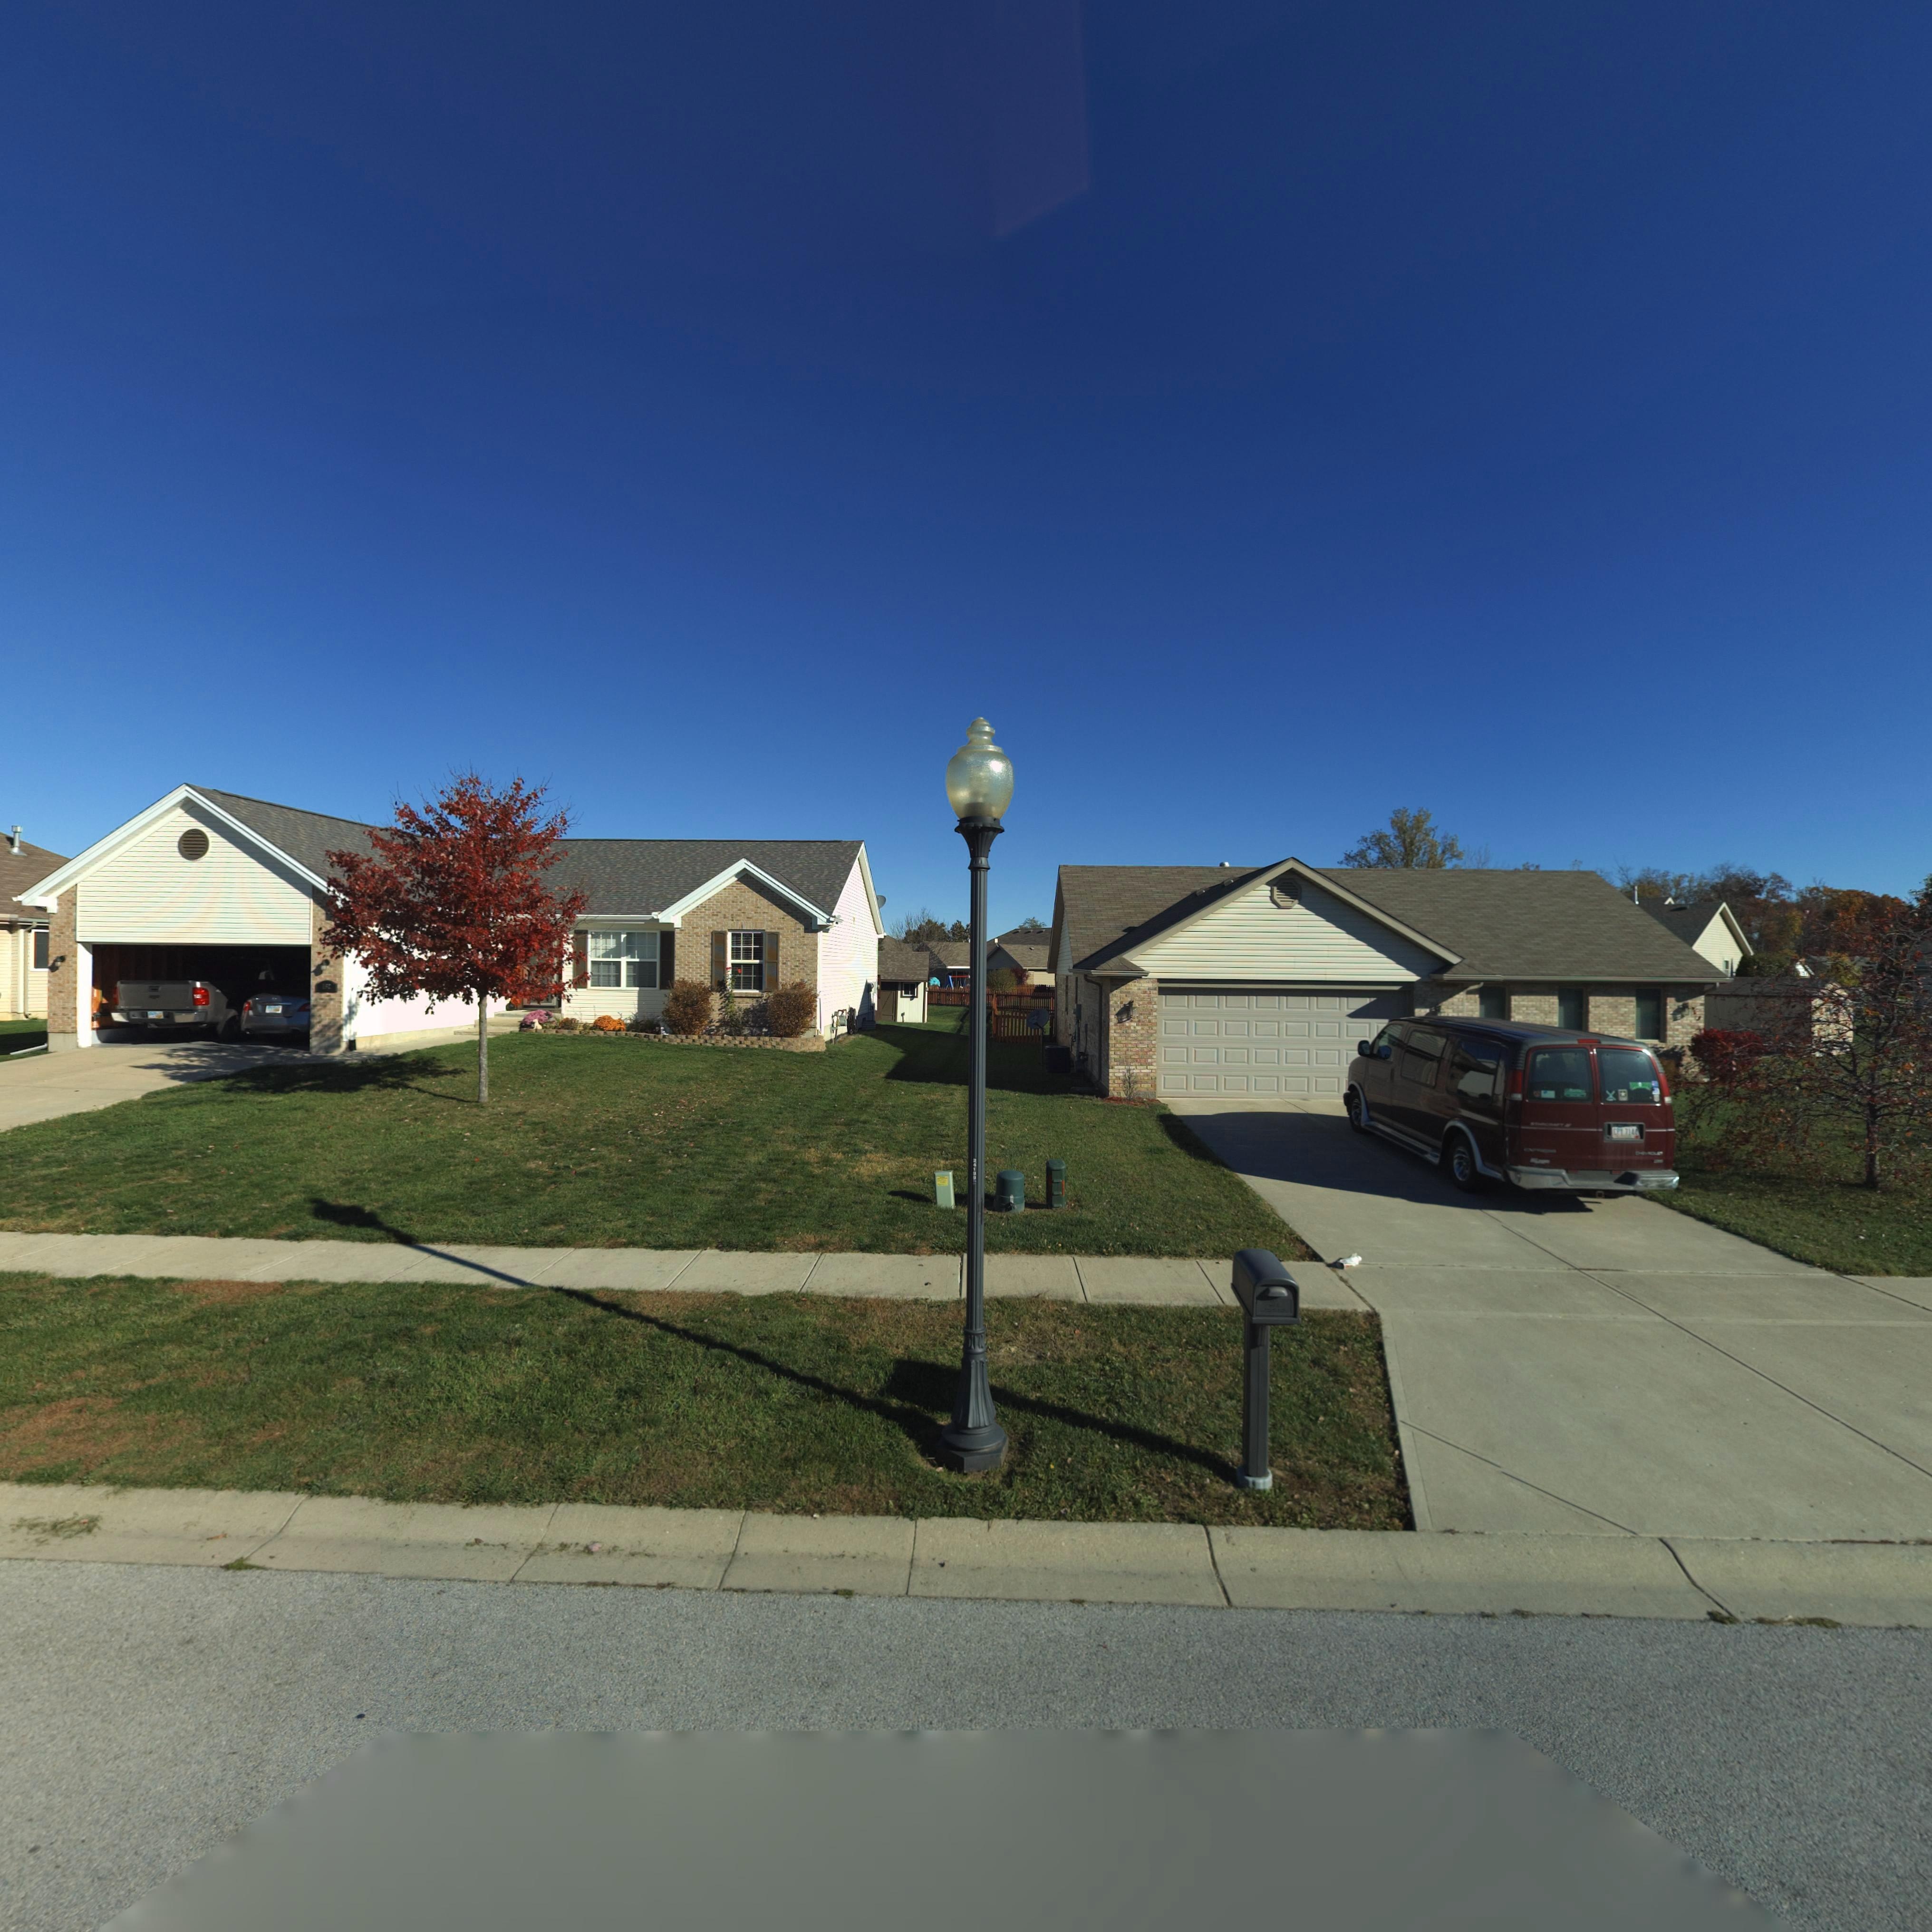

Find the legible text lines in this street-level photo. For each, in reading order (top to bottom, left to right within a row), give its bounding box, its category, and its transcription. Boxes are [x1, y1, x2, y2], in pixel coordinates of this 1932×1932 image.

[322, 983, 332, 990] StreetNumber: 1*2